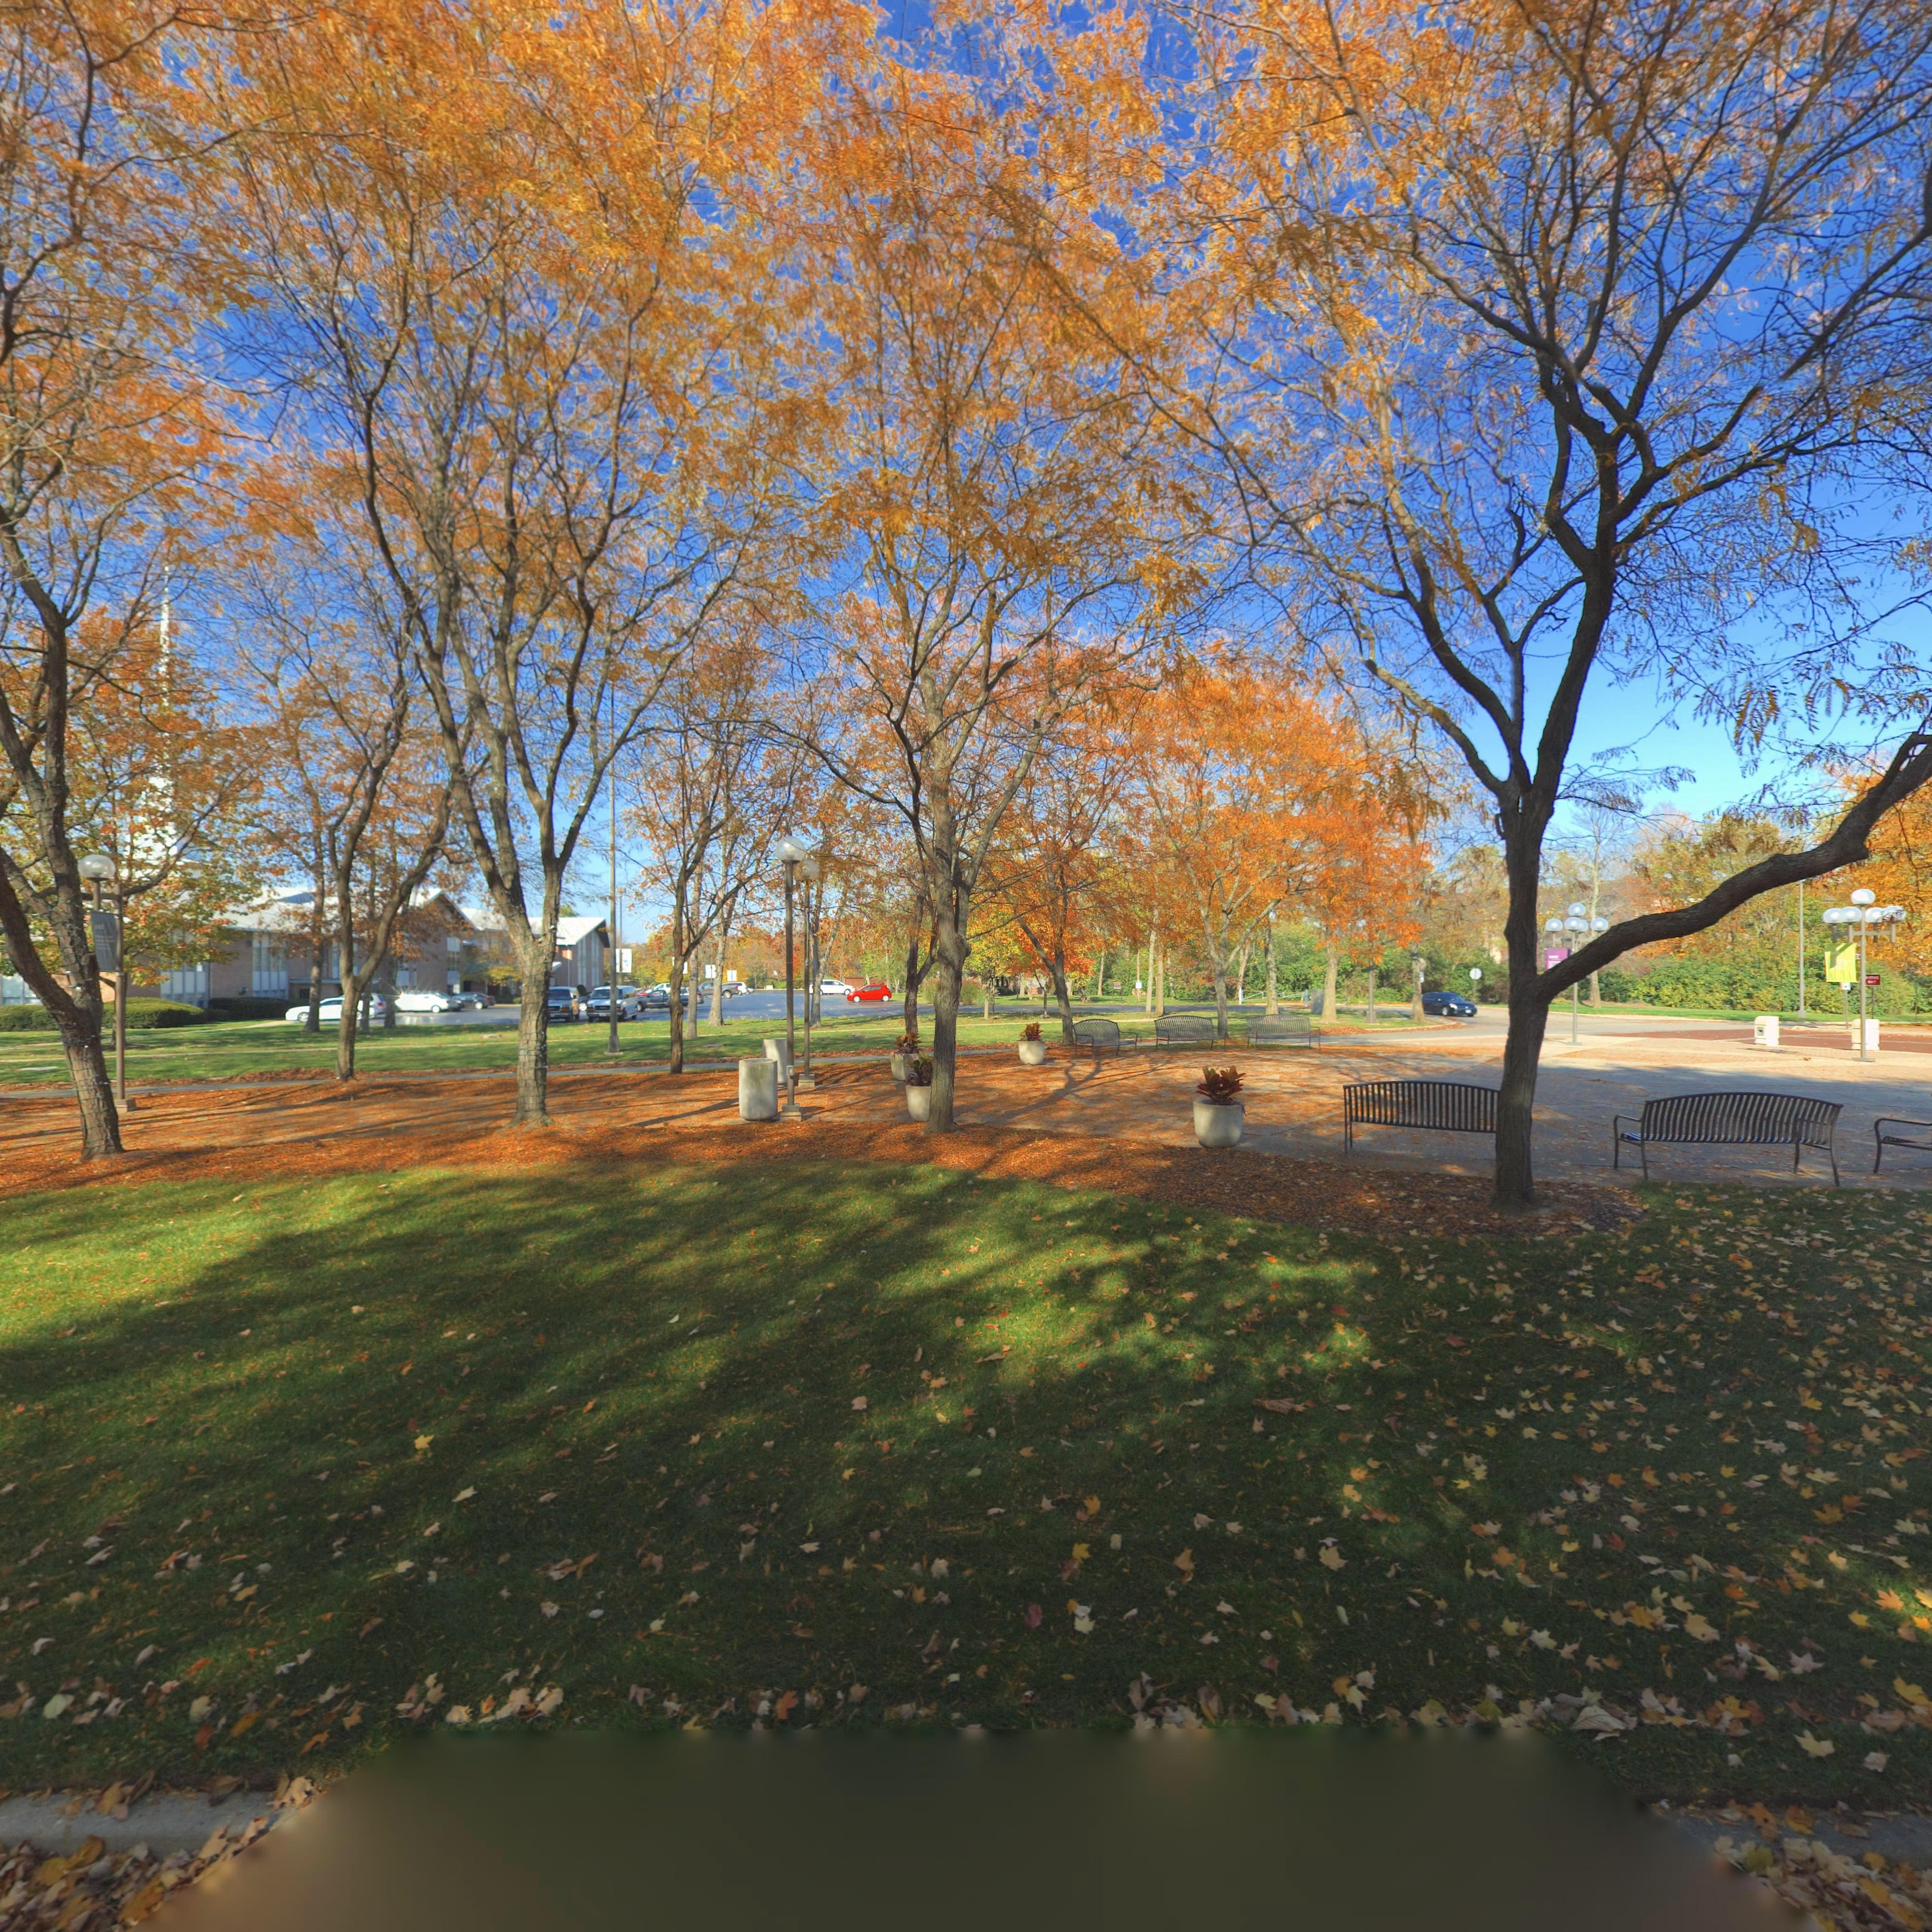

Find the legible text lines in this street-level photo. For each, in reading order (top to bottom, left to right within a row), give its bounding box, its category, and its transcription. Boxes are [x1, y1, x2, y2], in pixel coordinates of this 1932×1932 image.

[1866, 976, 1879, 979] None: WRONG
[1867, 980, 1877, 984] None: WAY